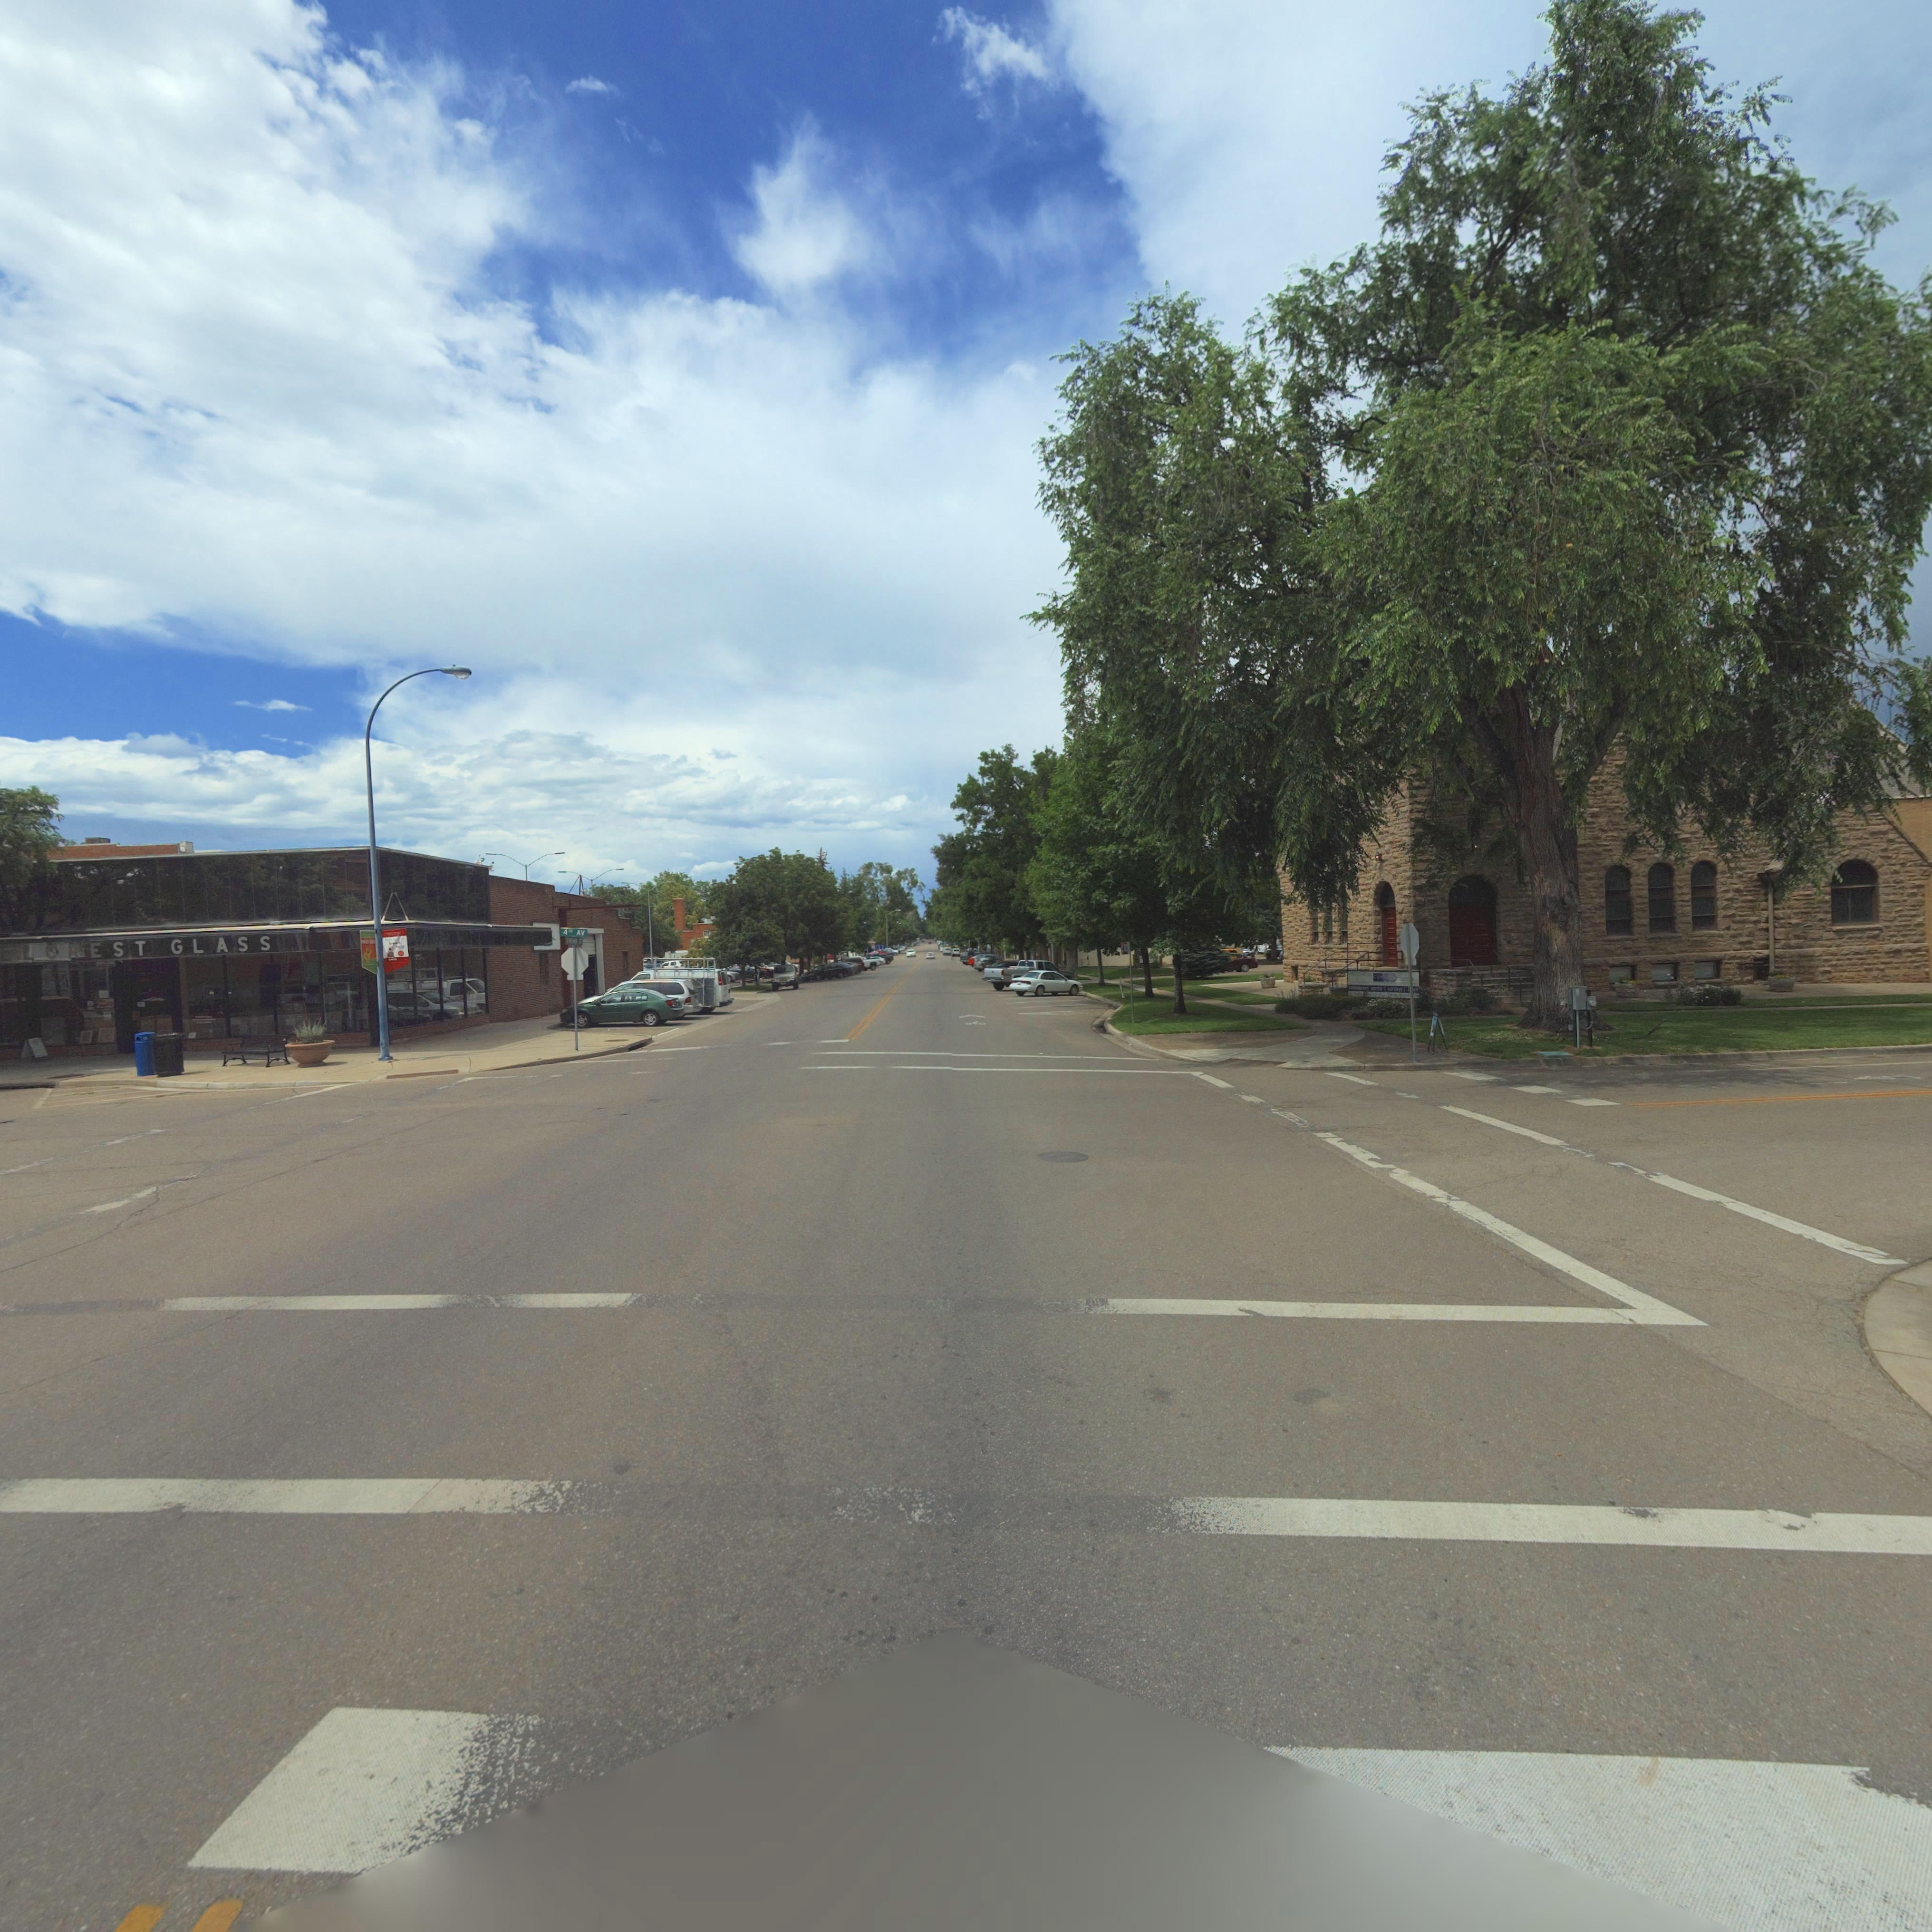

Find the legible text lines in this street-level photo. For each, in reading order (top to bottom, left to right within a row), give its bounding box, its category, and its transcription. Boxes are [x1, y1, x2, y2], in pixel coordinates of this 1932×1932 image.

[562, 929, 585, 936] StreetName: 4TH AV
[566, 938, 582, 944] StreetName: K****** S*
[20, 935, 271, 961] BusinessName: LCREST GLASS